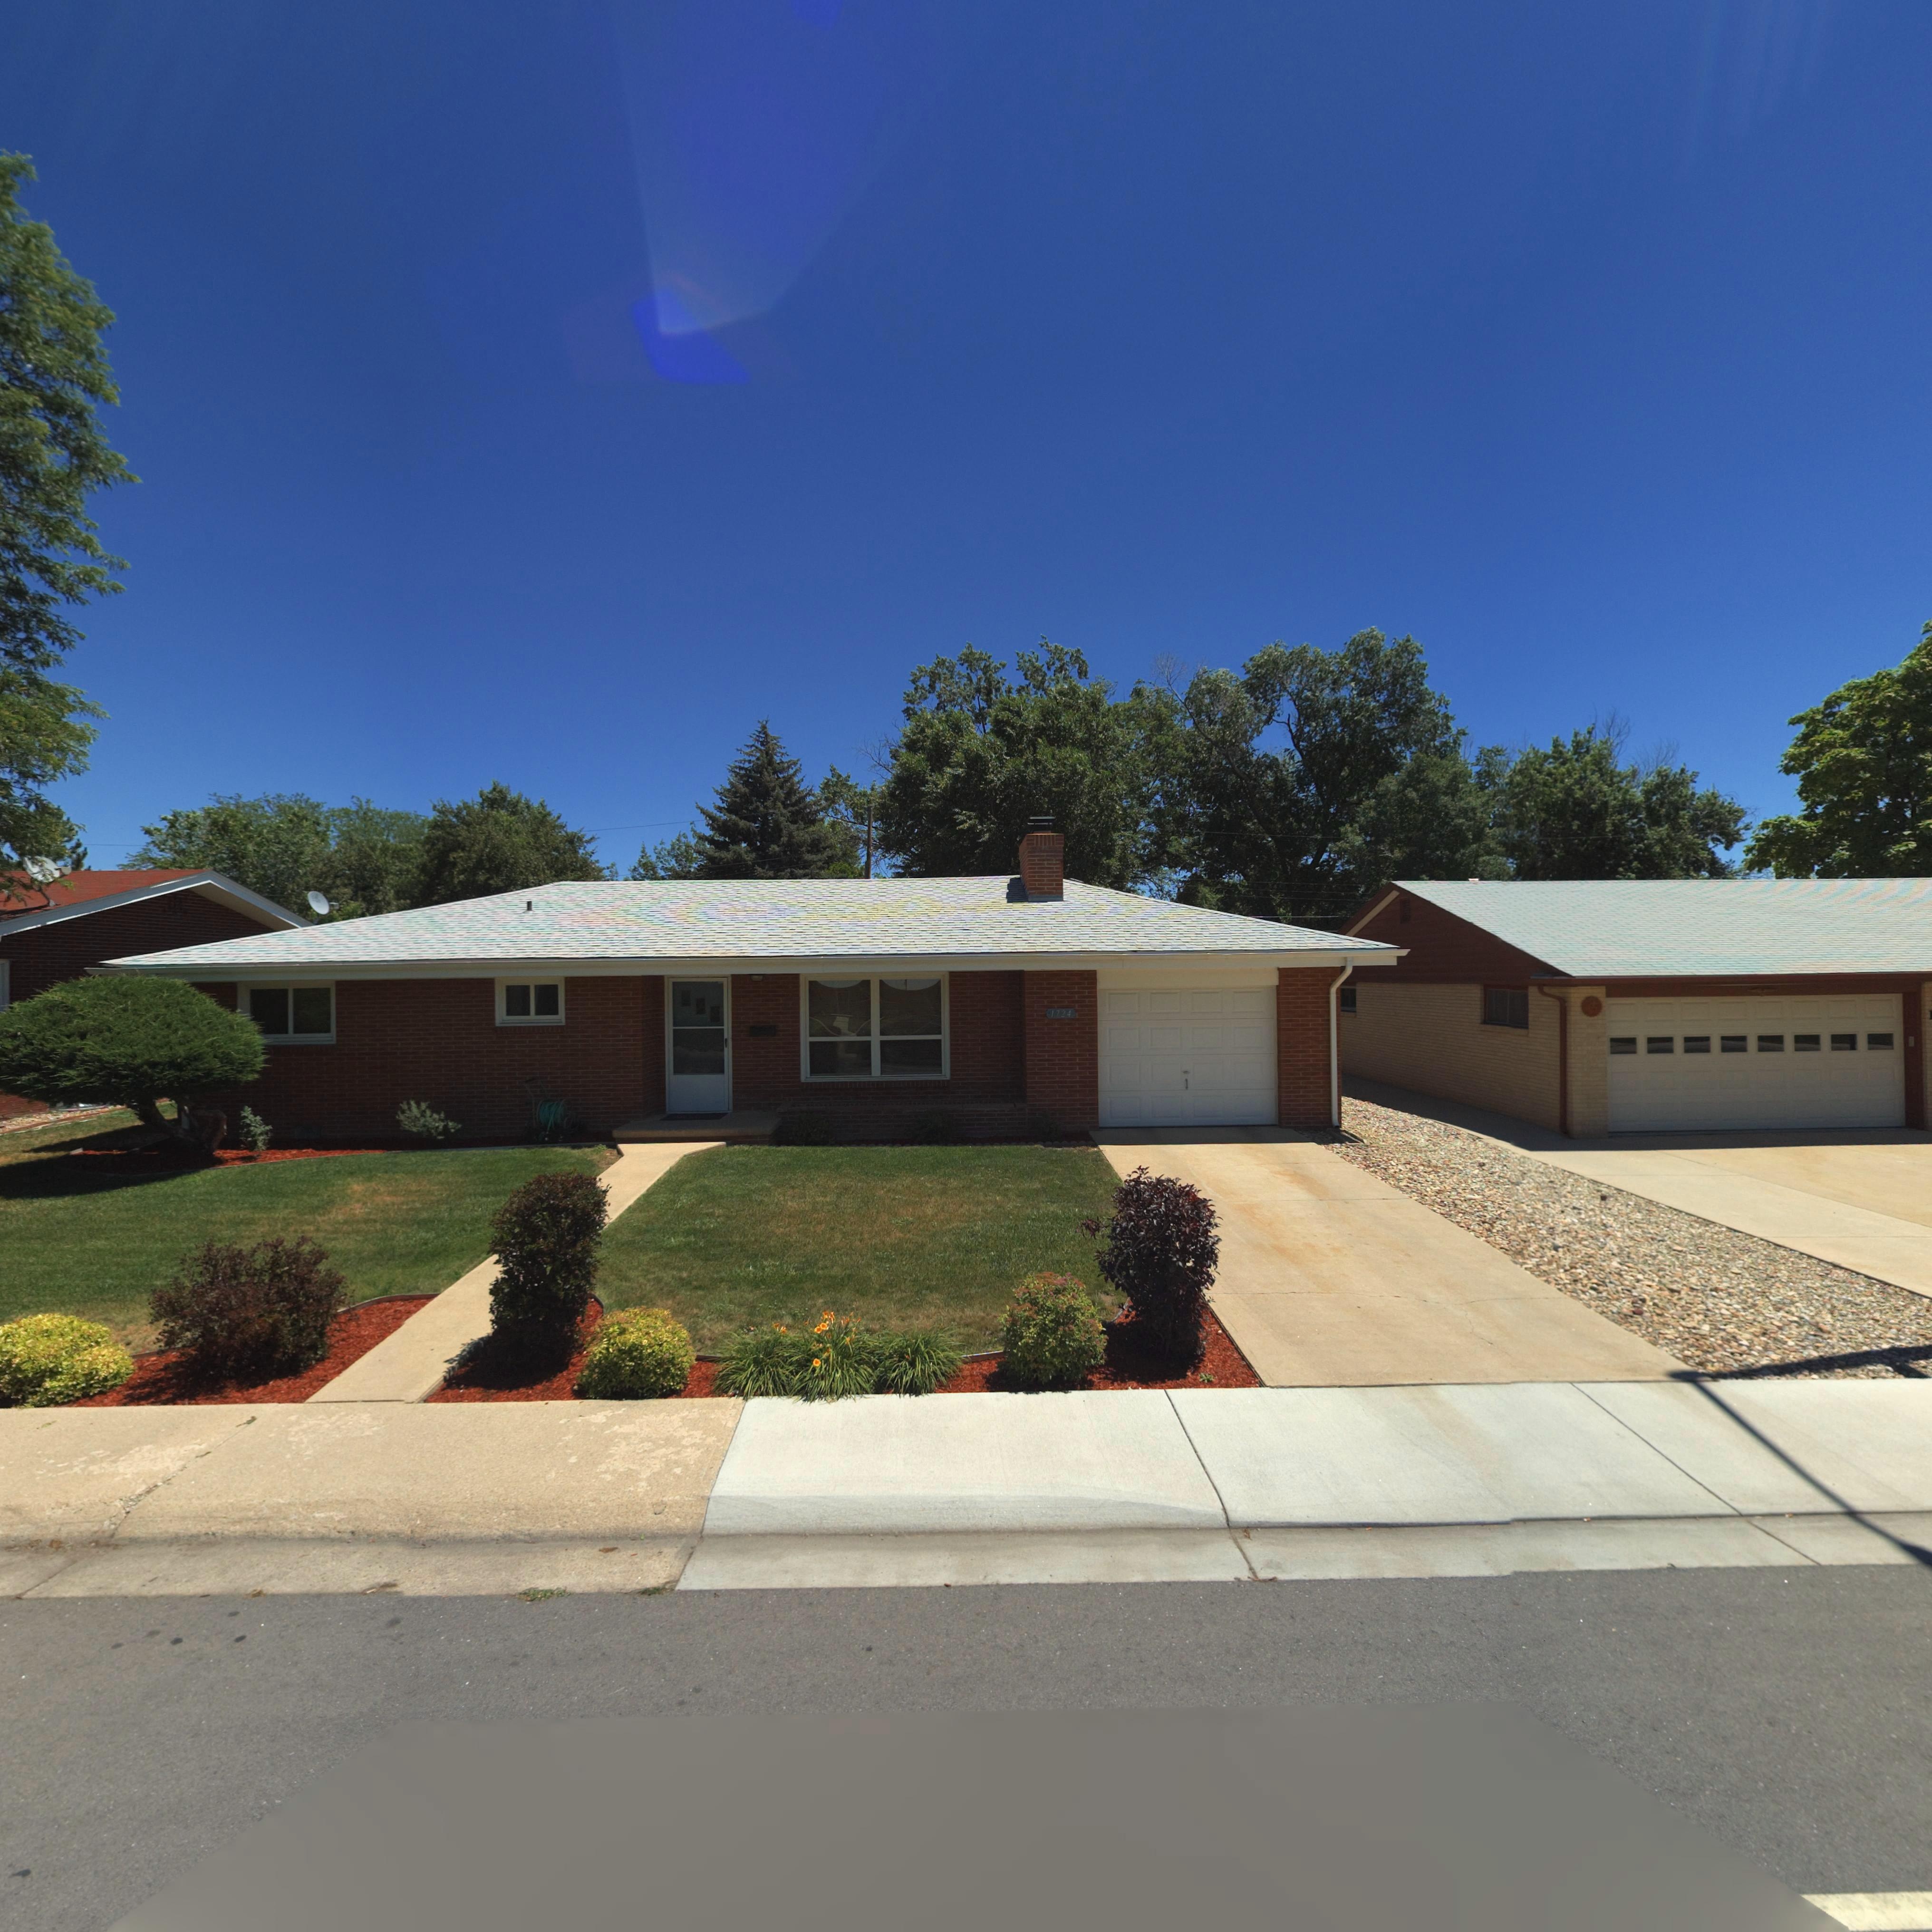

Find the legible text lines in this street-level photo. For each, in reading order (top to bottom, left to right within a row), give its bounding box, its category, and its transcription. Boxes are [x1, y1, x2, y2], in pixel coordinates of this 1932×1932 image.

[1051, 1009, 1072, 1017] StreetNumber: 1724